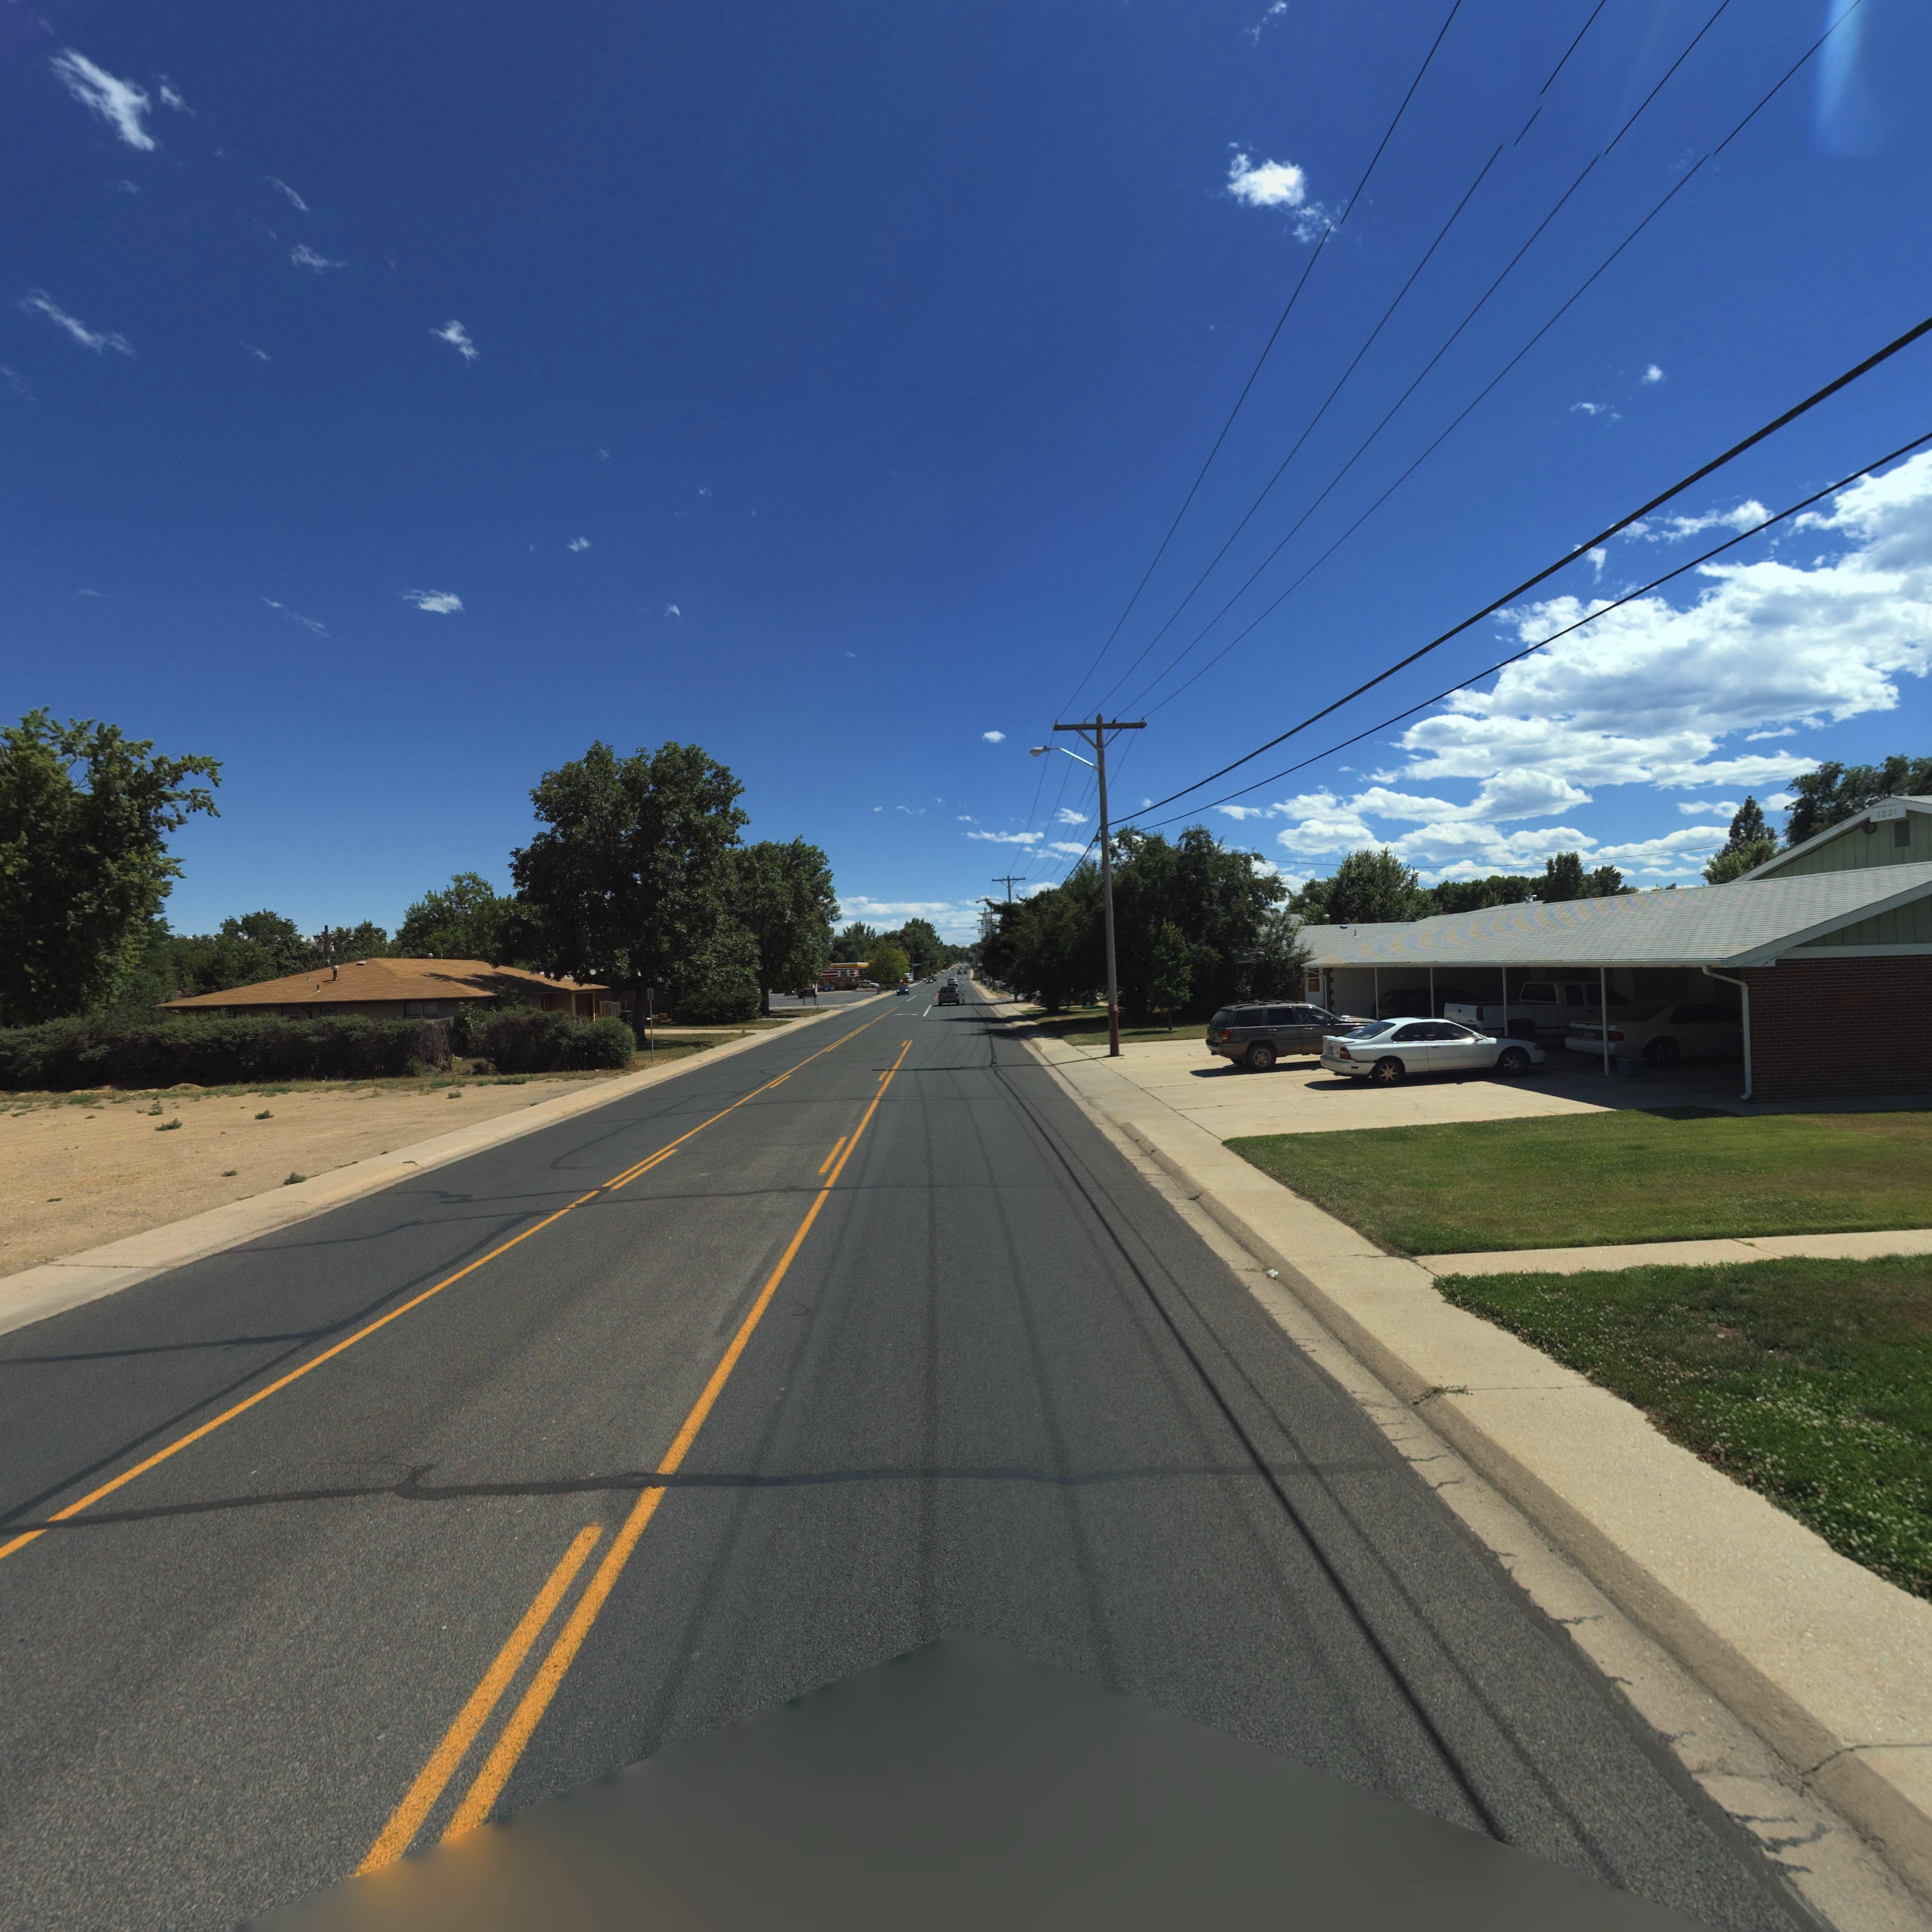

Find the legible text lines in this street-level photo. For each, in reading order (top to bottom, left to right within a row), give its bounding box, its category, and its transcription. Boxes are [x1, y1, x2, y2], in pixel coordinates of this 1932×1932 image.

[1877, 807, 1897, 818] StreetNumber: 1221